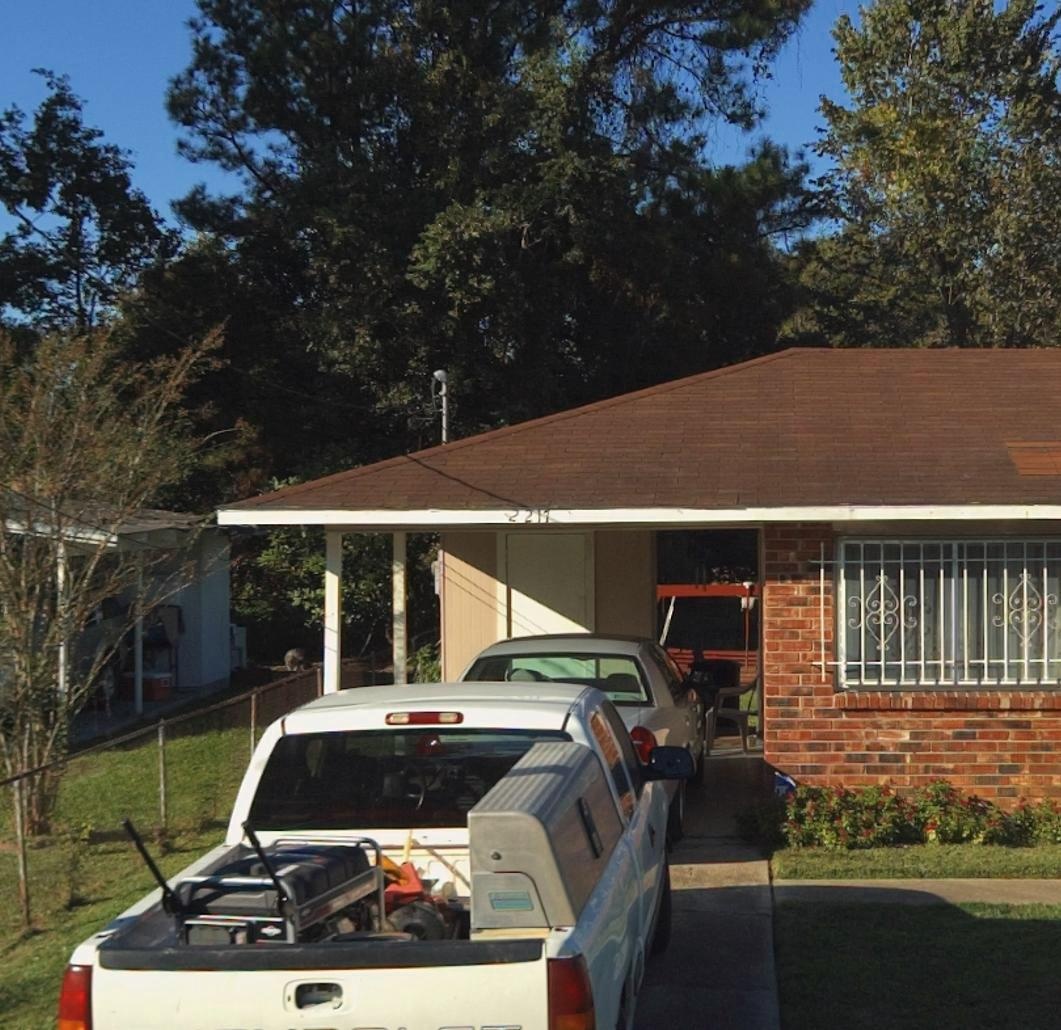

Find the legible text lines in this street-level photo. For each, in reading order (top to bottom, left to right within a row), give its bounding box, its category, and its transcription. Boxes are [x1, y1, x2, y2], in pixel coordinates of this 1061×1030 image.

[508, 508, 552, 524] StreetNumber: 2217